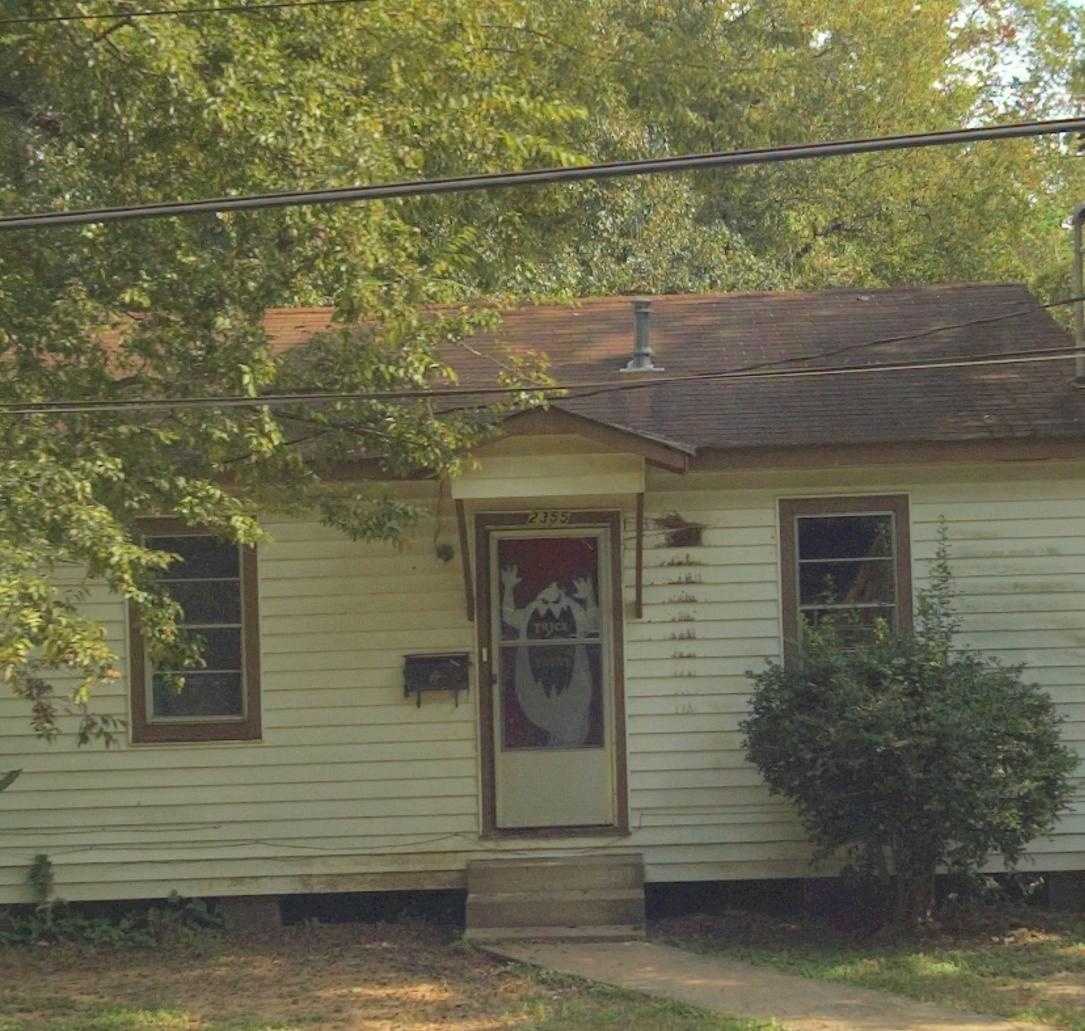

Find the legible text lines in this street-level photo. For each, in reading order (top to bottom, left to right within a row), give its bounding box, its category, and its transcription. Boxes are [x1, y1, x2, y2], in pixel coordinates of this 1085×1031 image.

[527, 508, 570, 527] StreetNumber: 2355
[532, 620, 572, 635] None: TRICK
[533, 653, 574, 670] None: TREAT